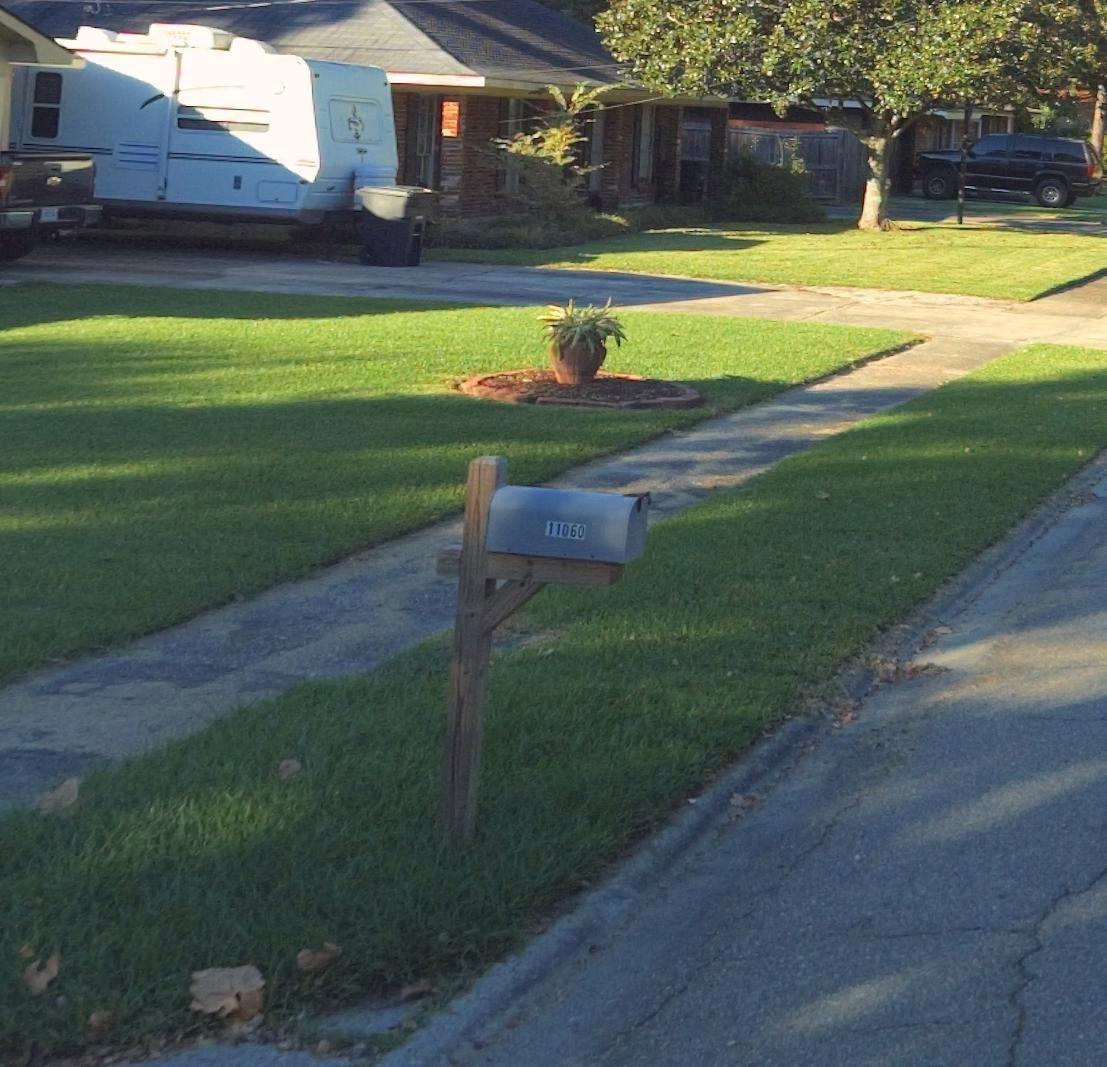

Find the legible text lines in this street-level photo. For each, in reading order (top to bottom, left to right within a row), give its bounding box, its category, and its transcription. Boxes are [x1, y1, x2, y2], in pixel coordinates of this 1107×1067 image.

[546, 520, 587, 540] StreetNumber: 11060